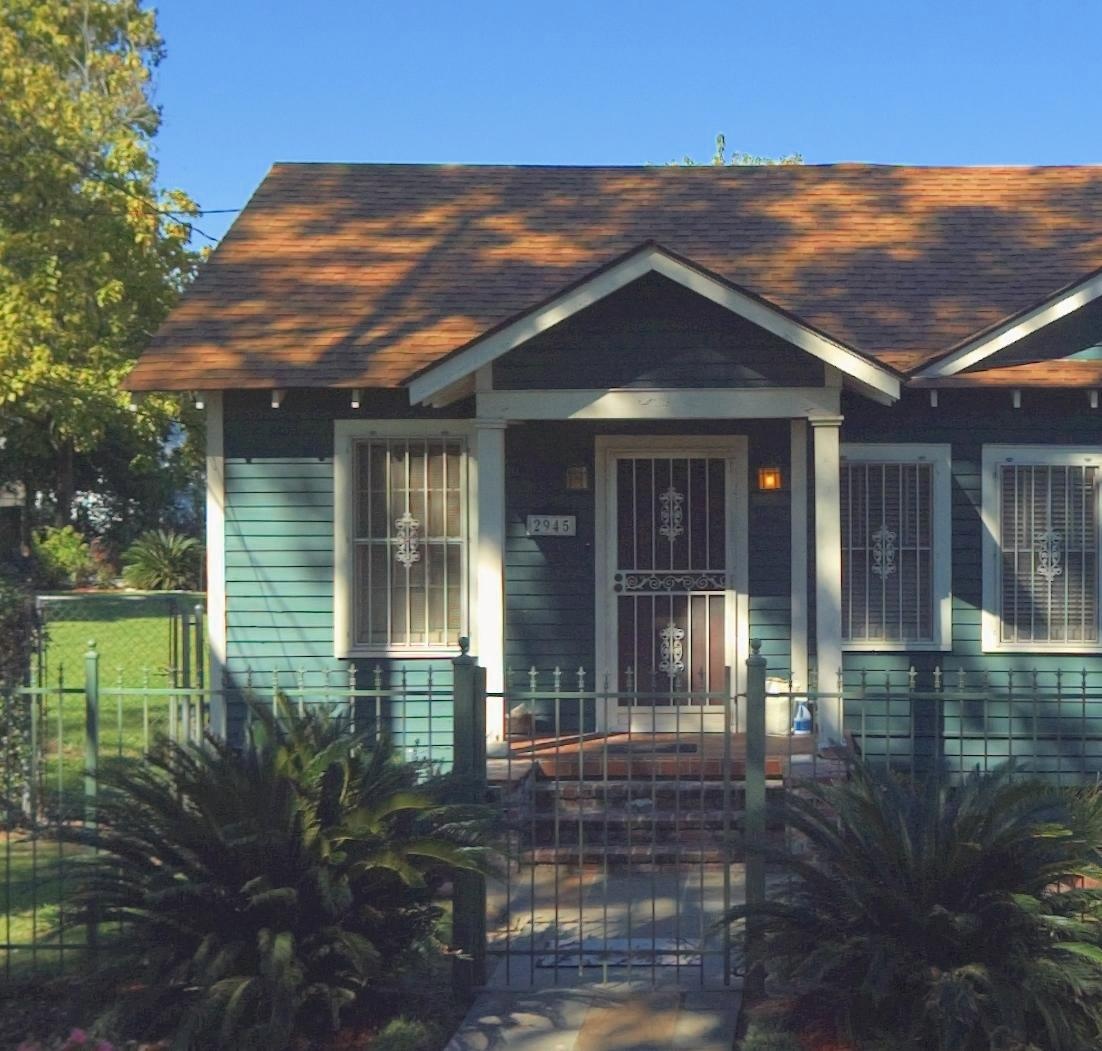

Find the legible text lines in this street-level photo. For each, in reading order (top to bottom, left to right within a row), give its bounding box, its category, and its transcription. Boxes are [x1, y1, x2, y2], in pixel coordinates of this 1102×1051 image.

[531, 517, 571, 534] StreetNumber: 2945